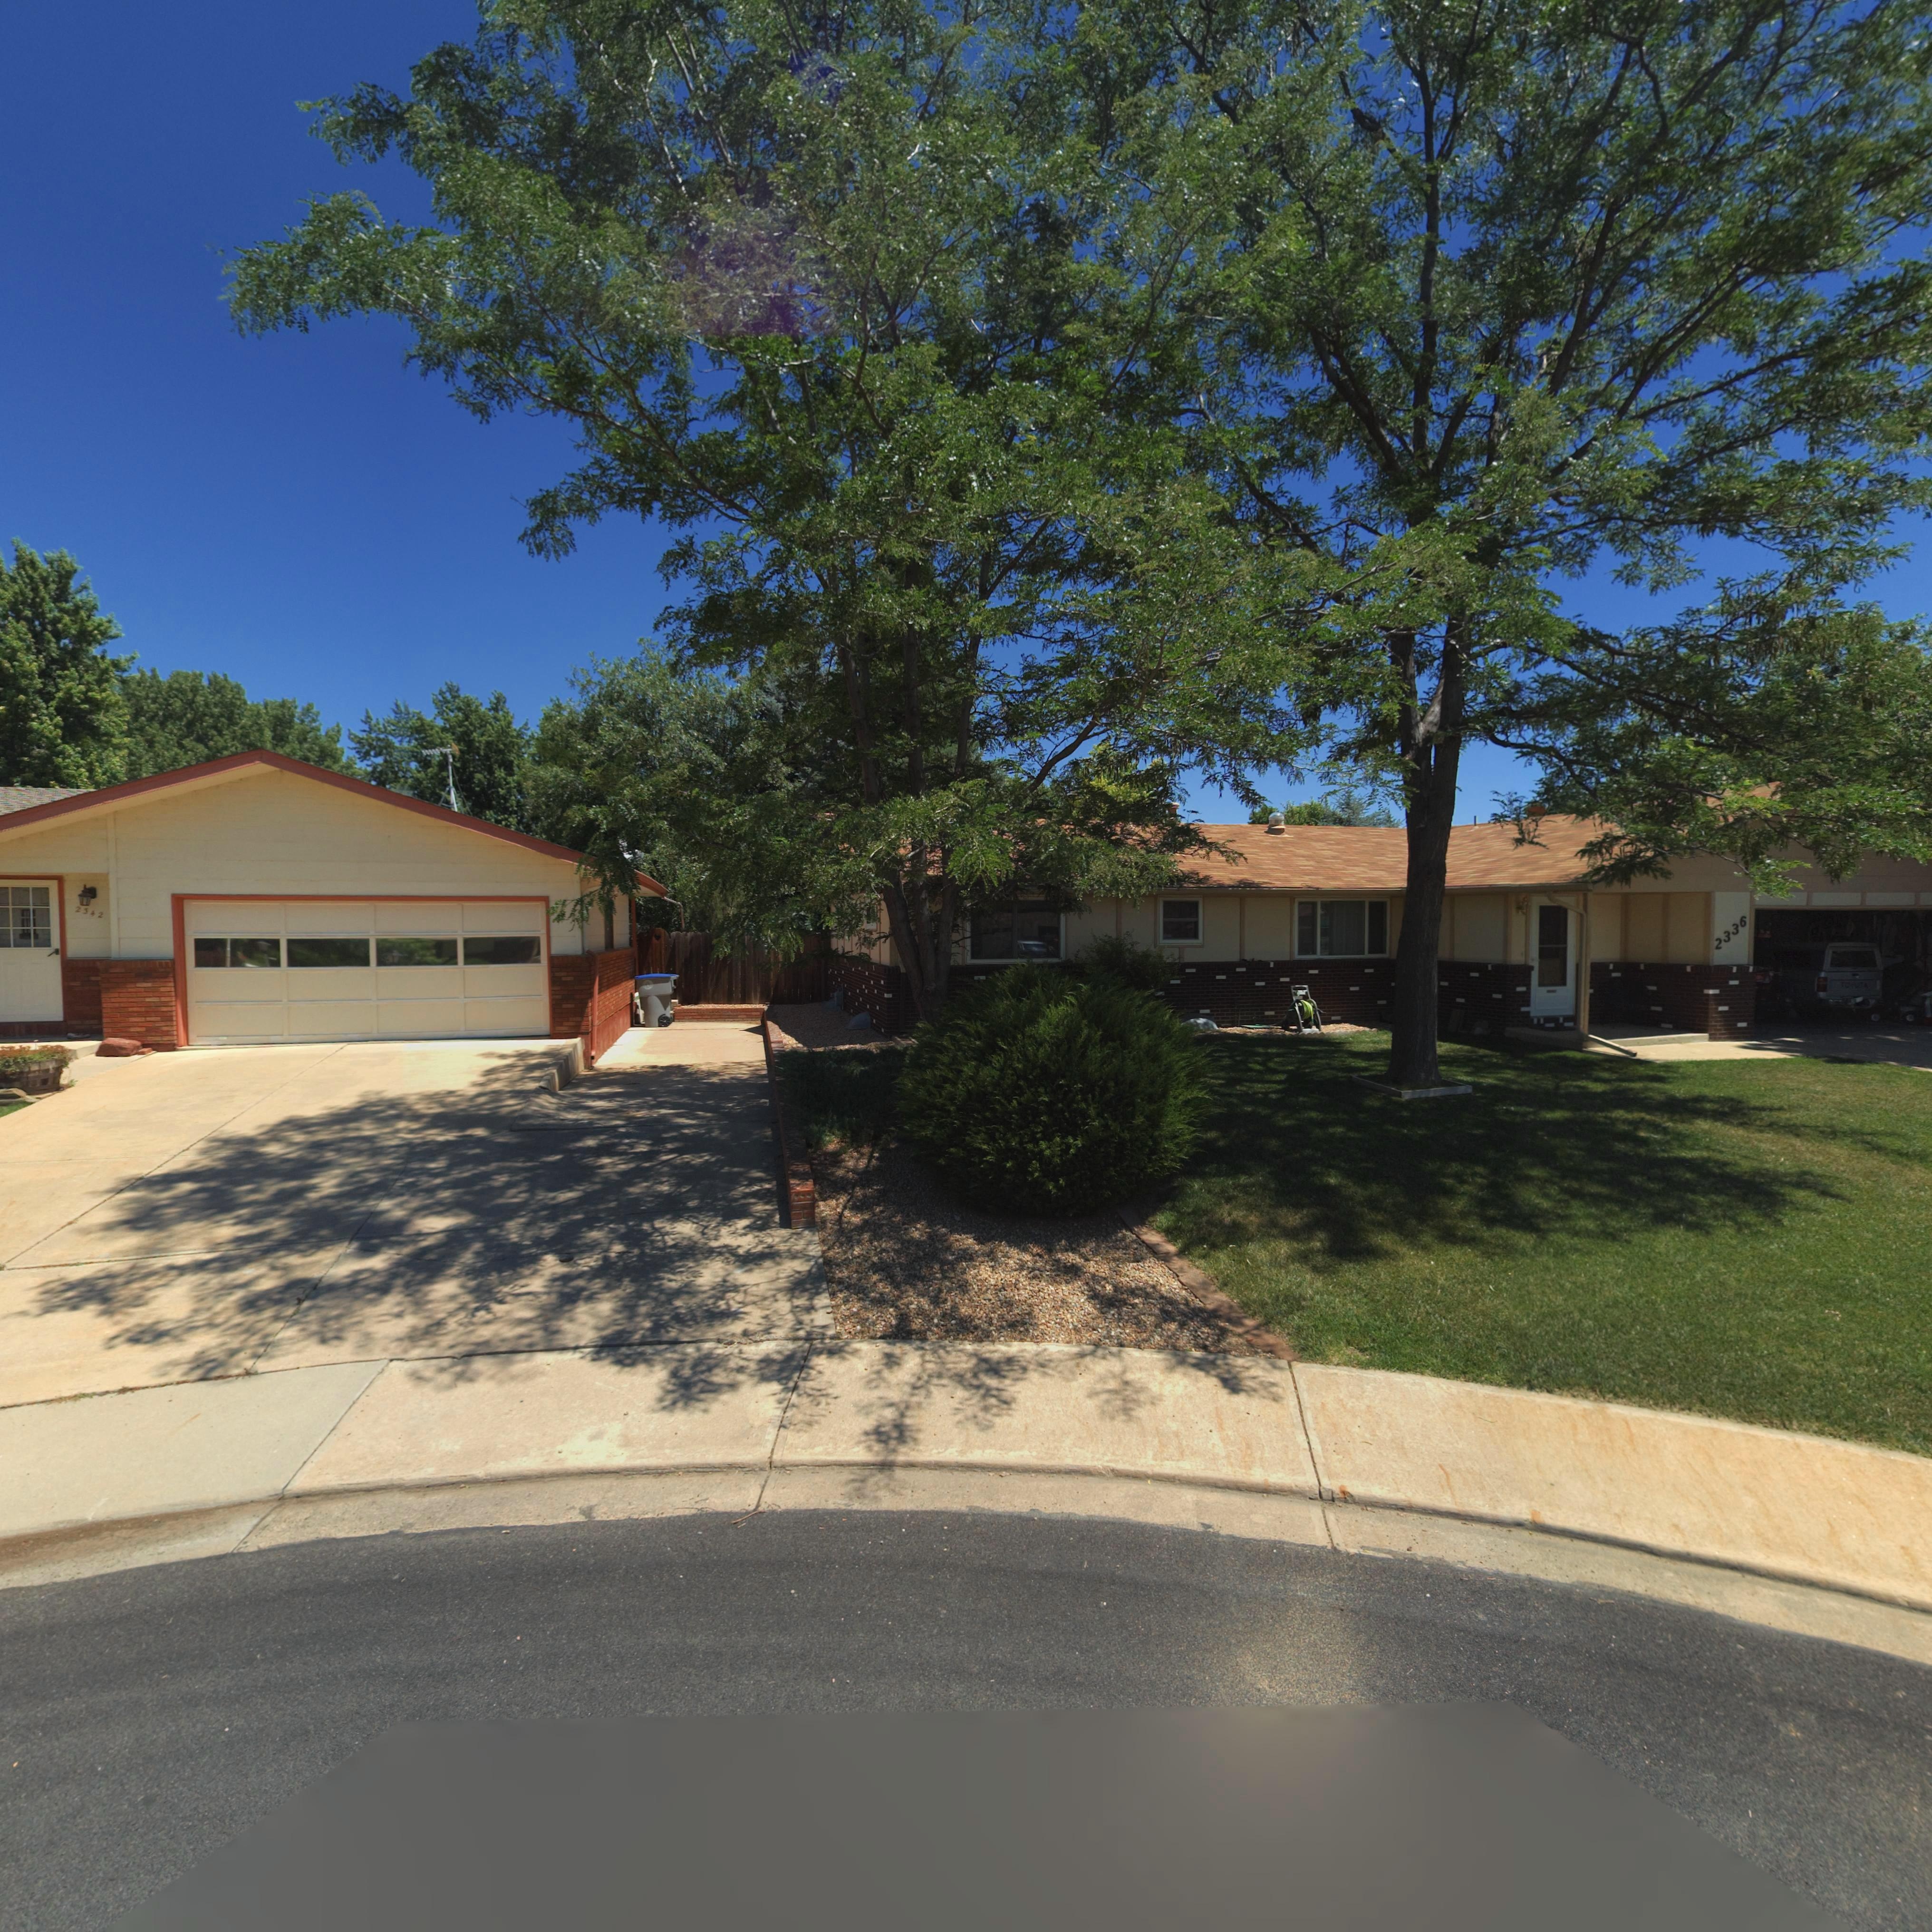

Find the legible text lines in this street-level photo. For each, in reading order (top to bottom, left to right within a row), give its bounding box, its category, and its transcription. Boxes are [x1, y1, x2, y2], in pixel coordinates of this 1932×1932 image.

[74, 906, 103, 918] StreetNumber: 2342
[1714, 915, 1747, 950] StreetNumber: 2336